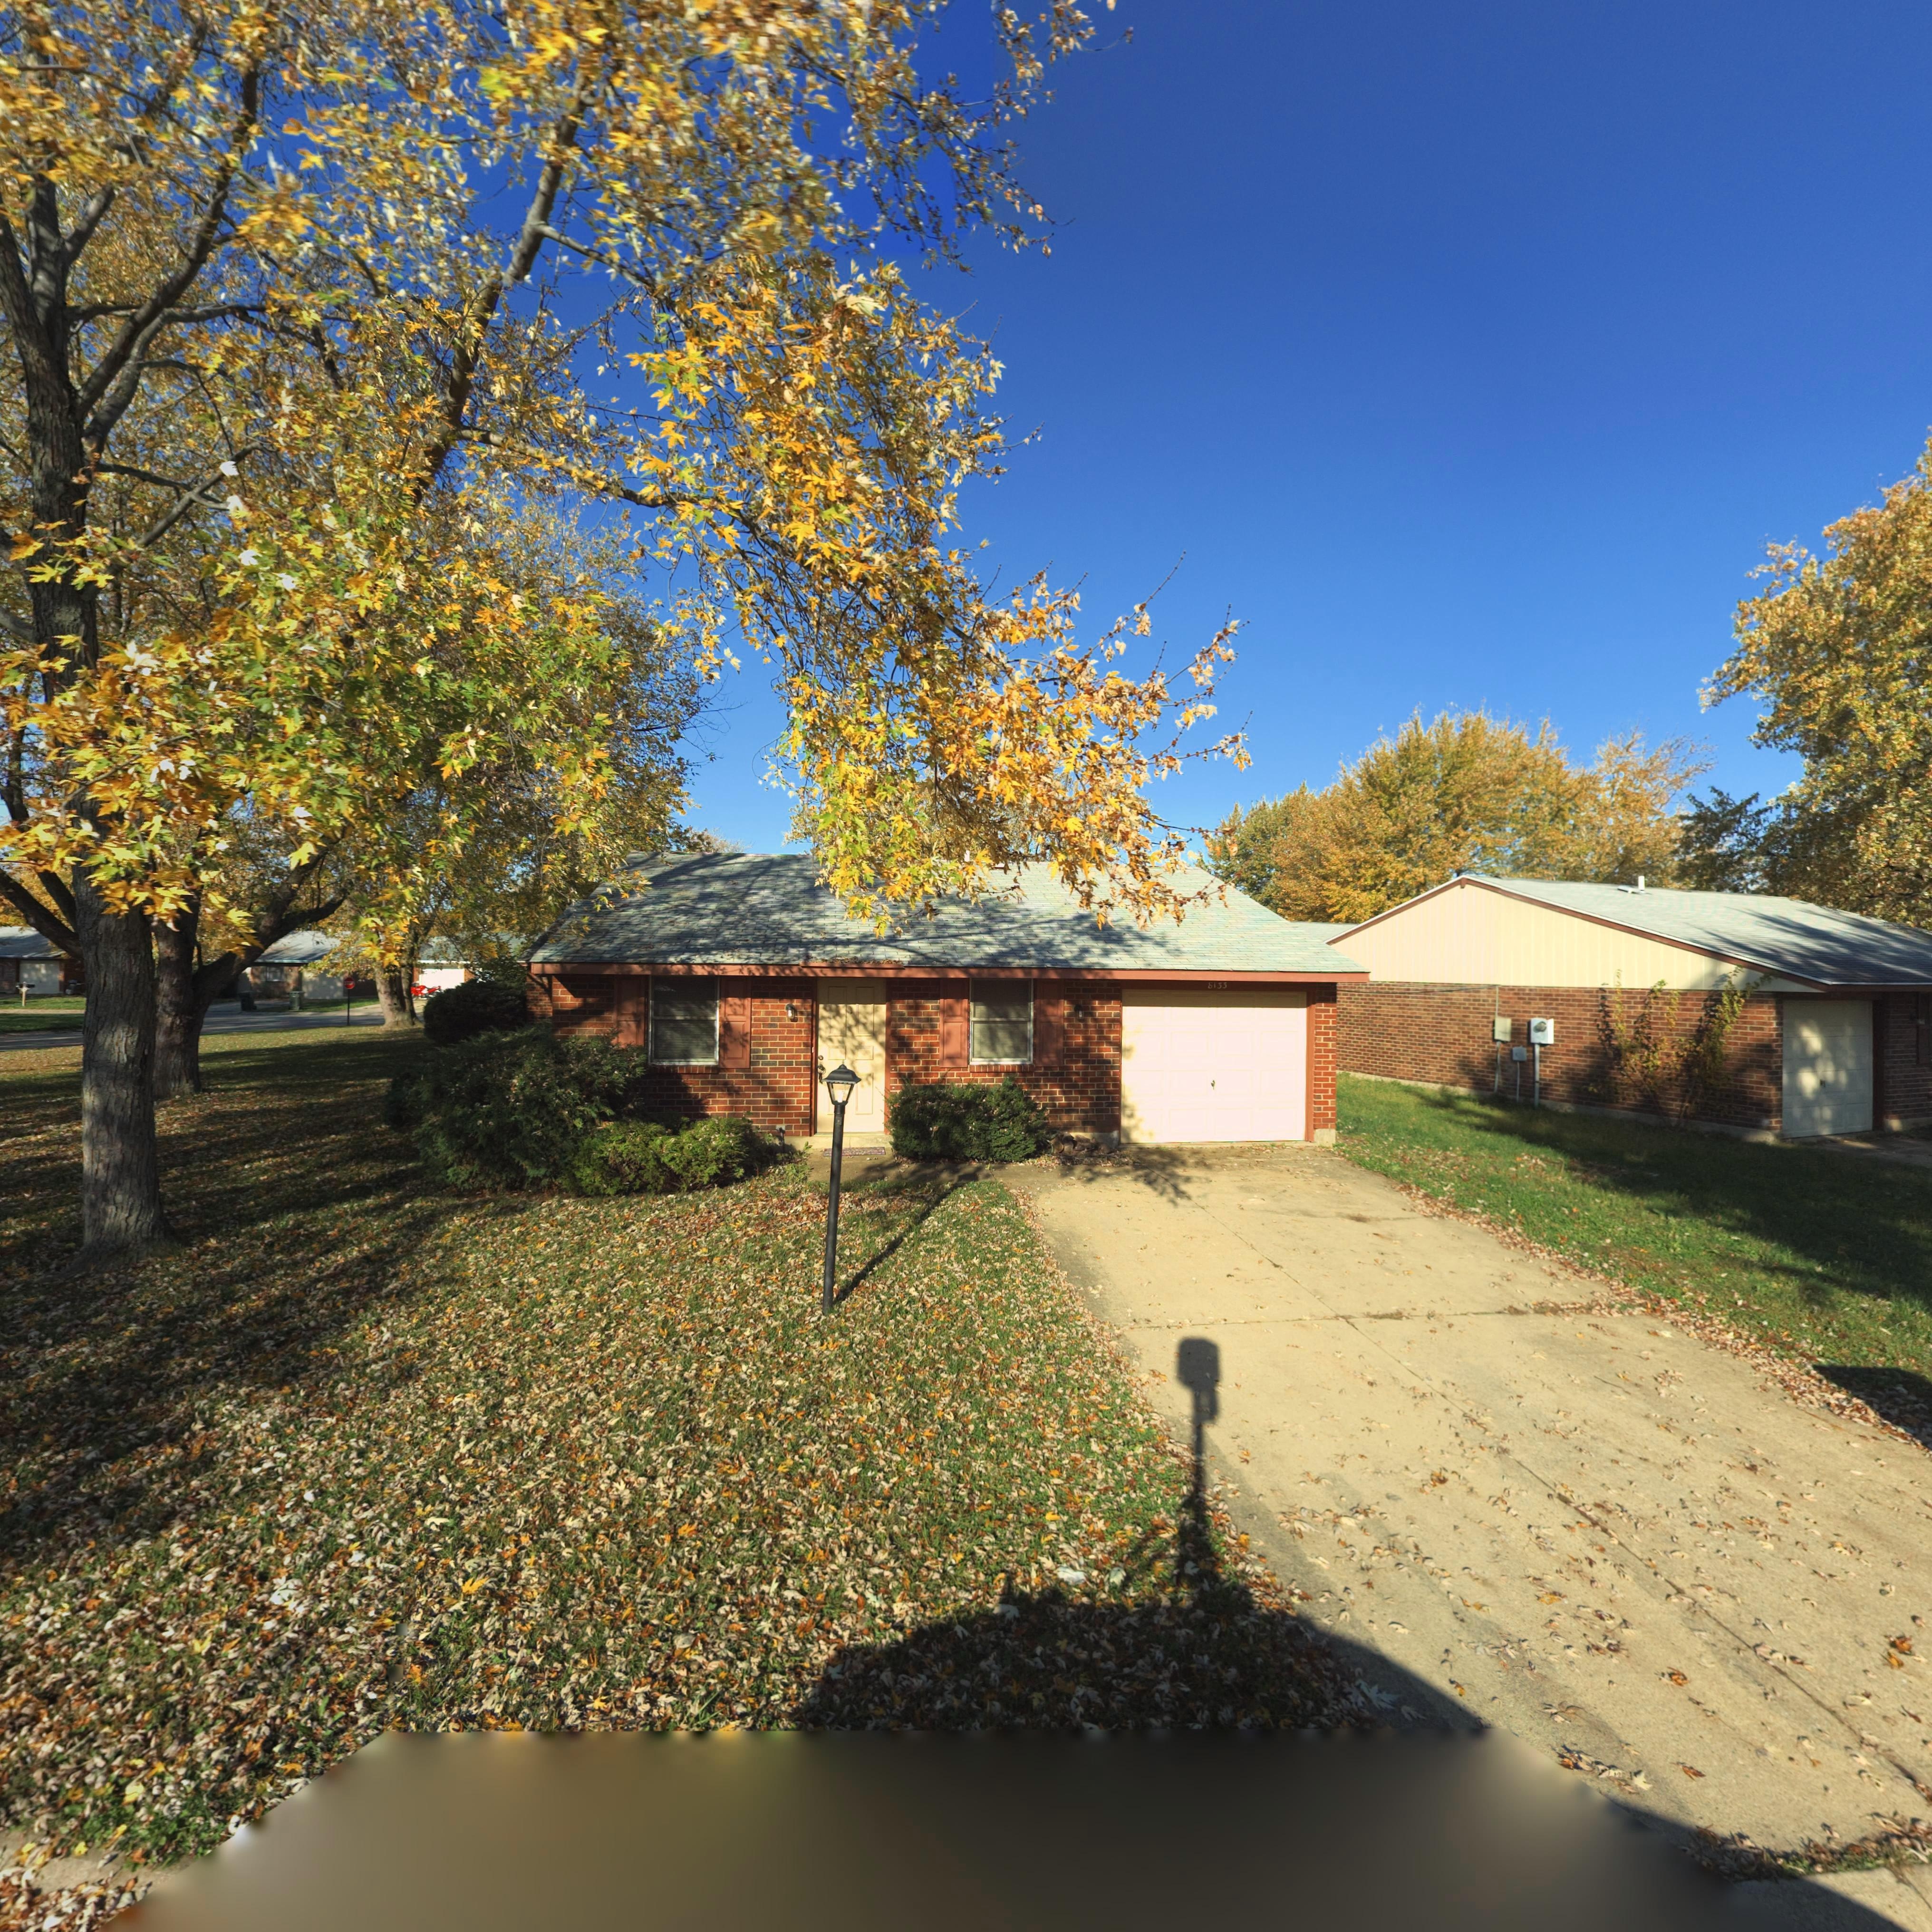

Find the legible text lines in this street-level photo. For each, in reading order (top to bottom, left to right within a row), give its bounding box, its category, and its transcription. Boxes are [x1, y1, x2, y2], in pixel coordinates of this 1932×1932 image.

[1207, 981, 1228, 991] StreetNumber: 8133